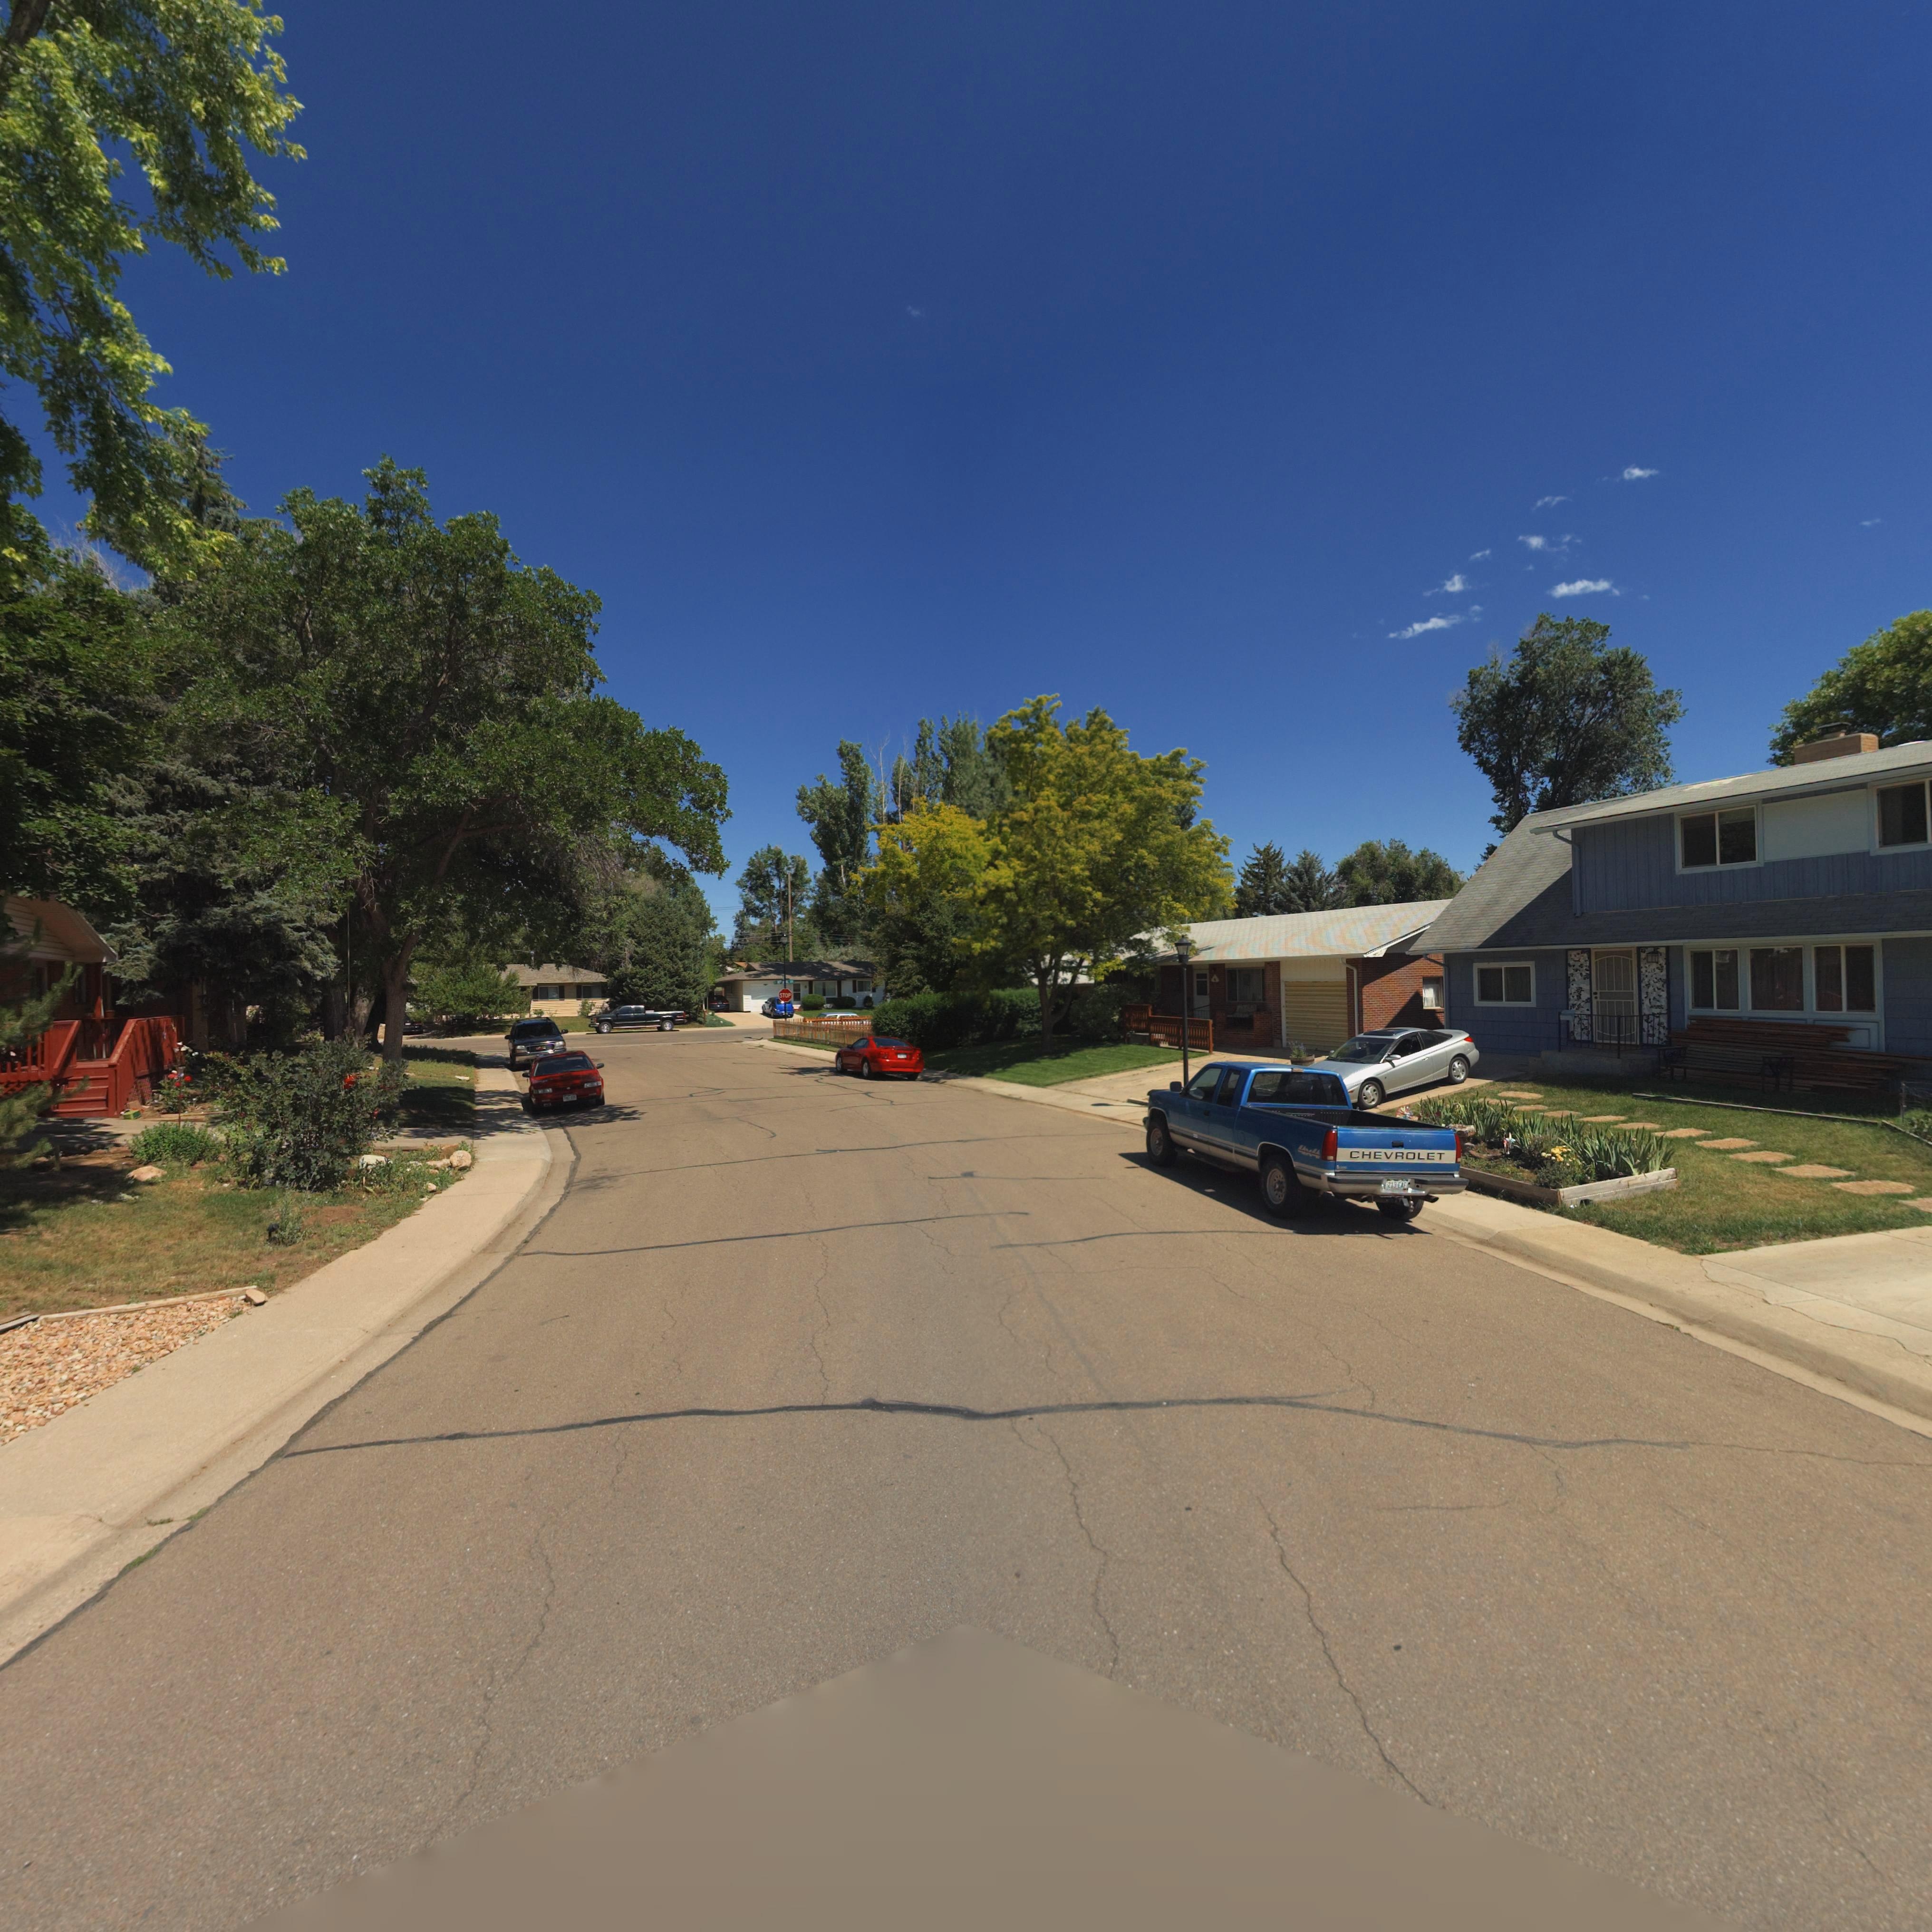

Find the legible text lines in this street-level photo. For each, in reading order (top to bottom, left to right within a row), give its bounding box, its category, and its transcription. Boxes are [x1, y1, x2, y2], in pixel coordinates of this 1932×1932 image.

[1650, 967, 1656, 973] StreetNumber: 15